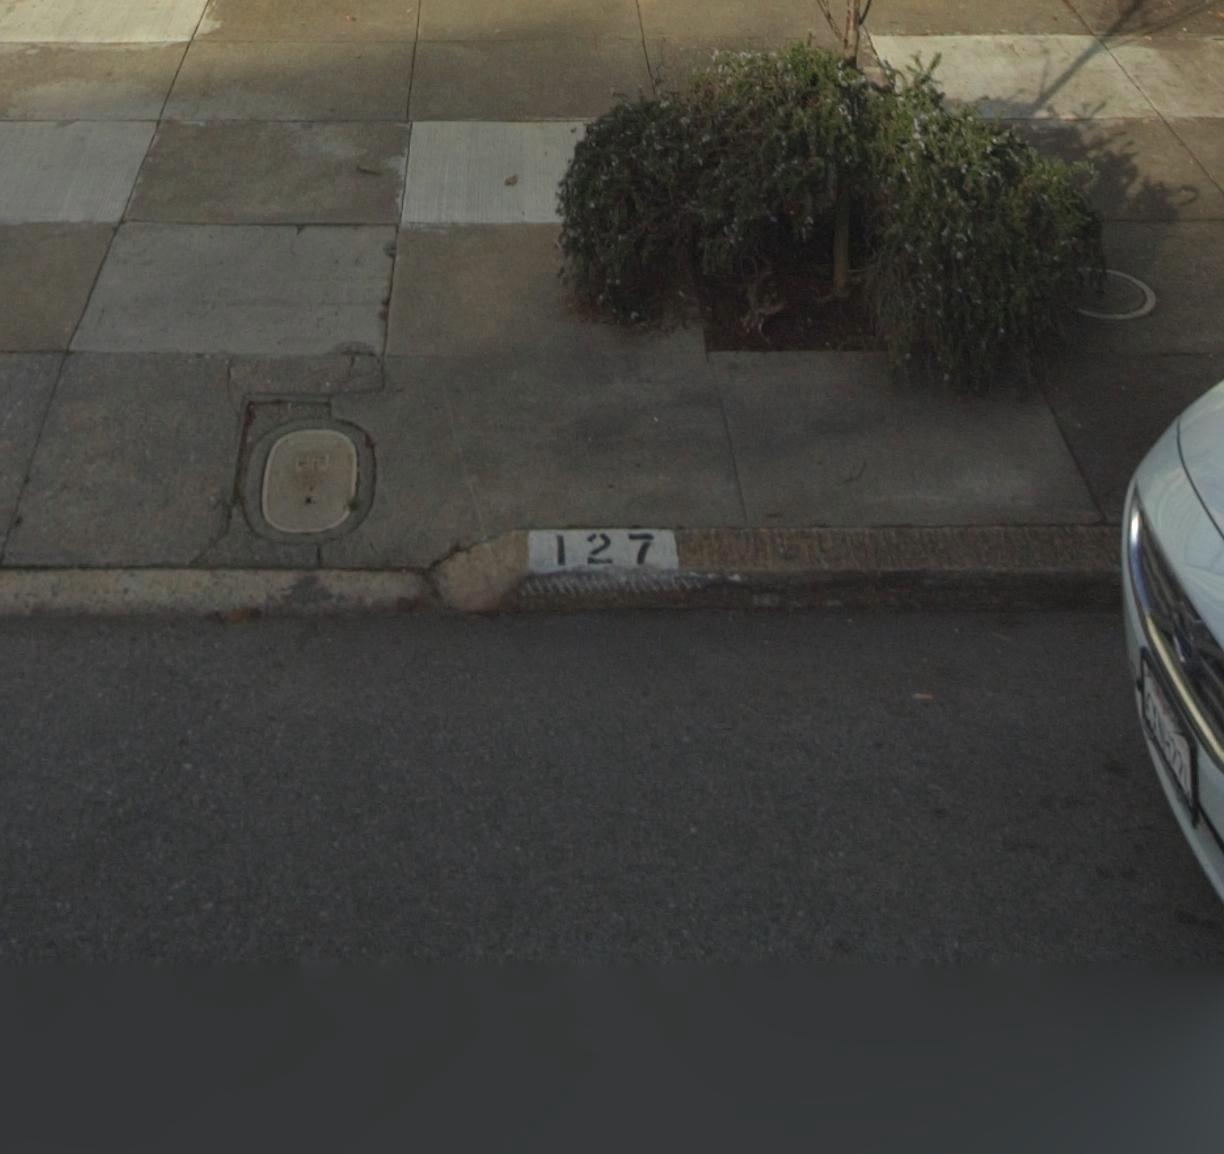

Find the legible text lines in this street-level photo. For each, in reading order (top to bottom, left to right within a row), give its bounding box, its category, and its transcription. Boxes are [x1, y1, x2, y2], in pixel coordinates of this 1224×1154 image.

[553, 529, 660, 570] StreetNumber: 127